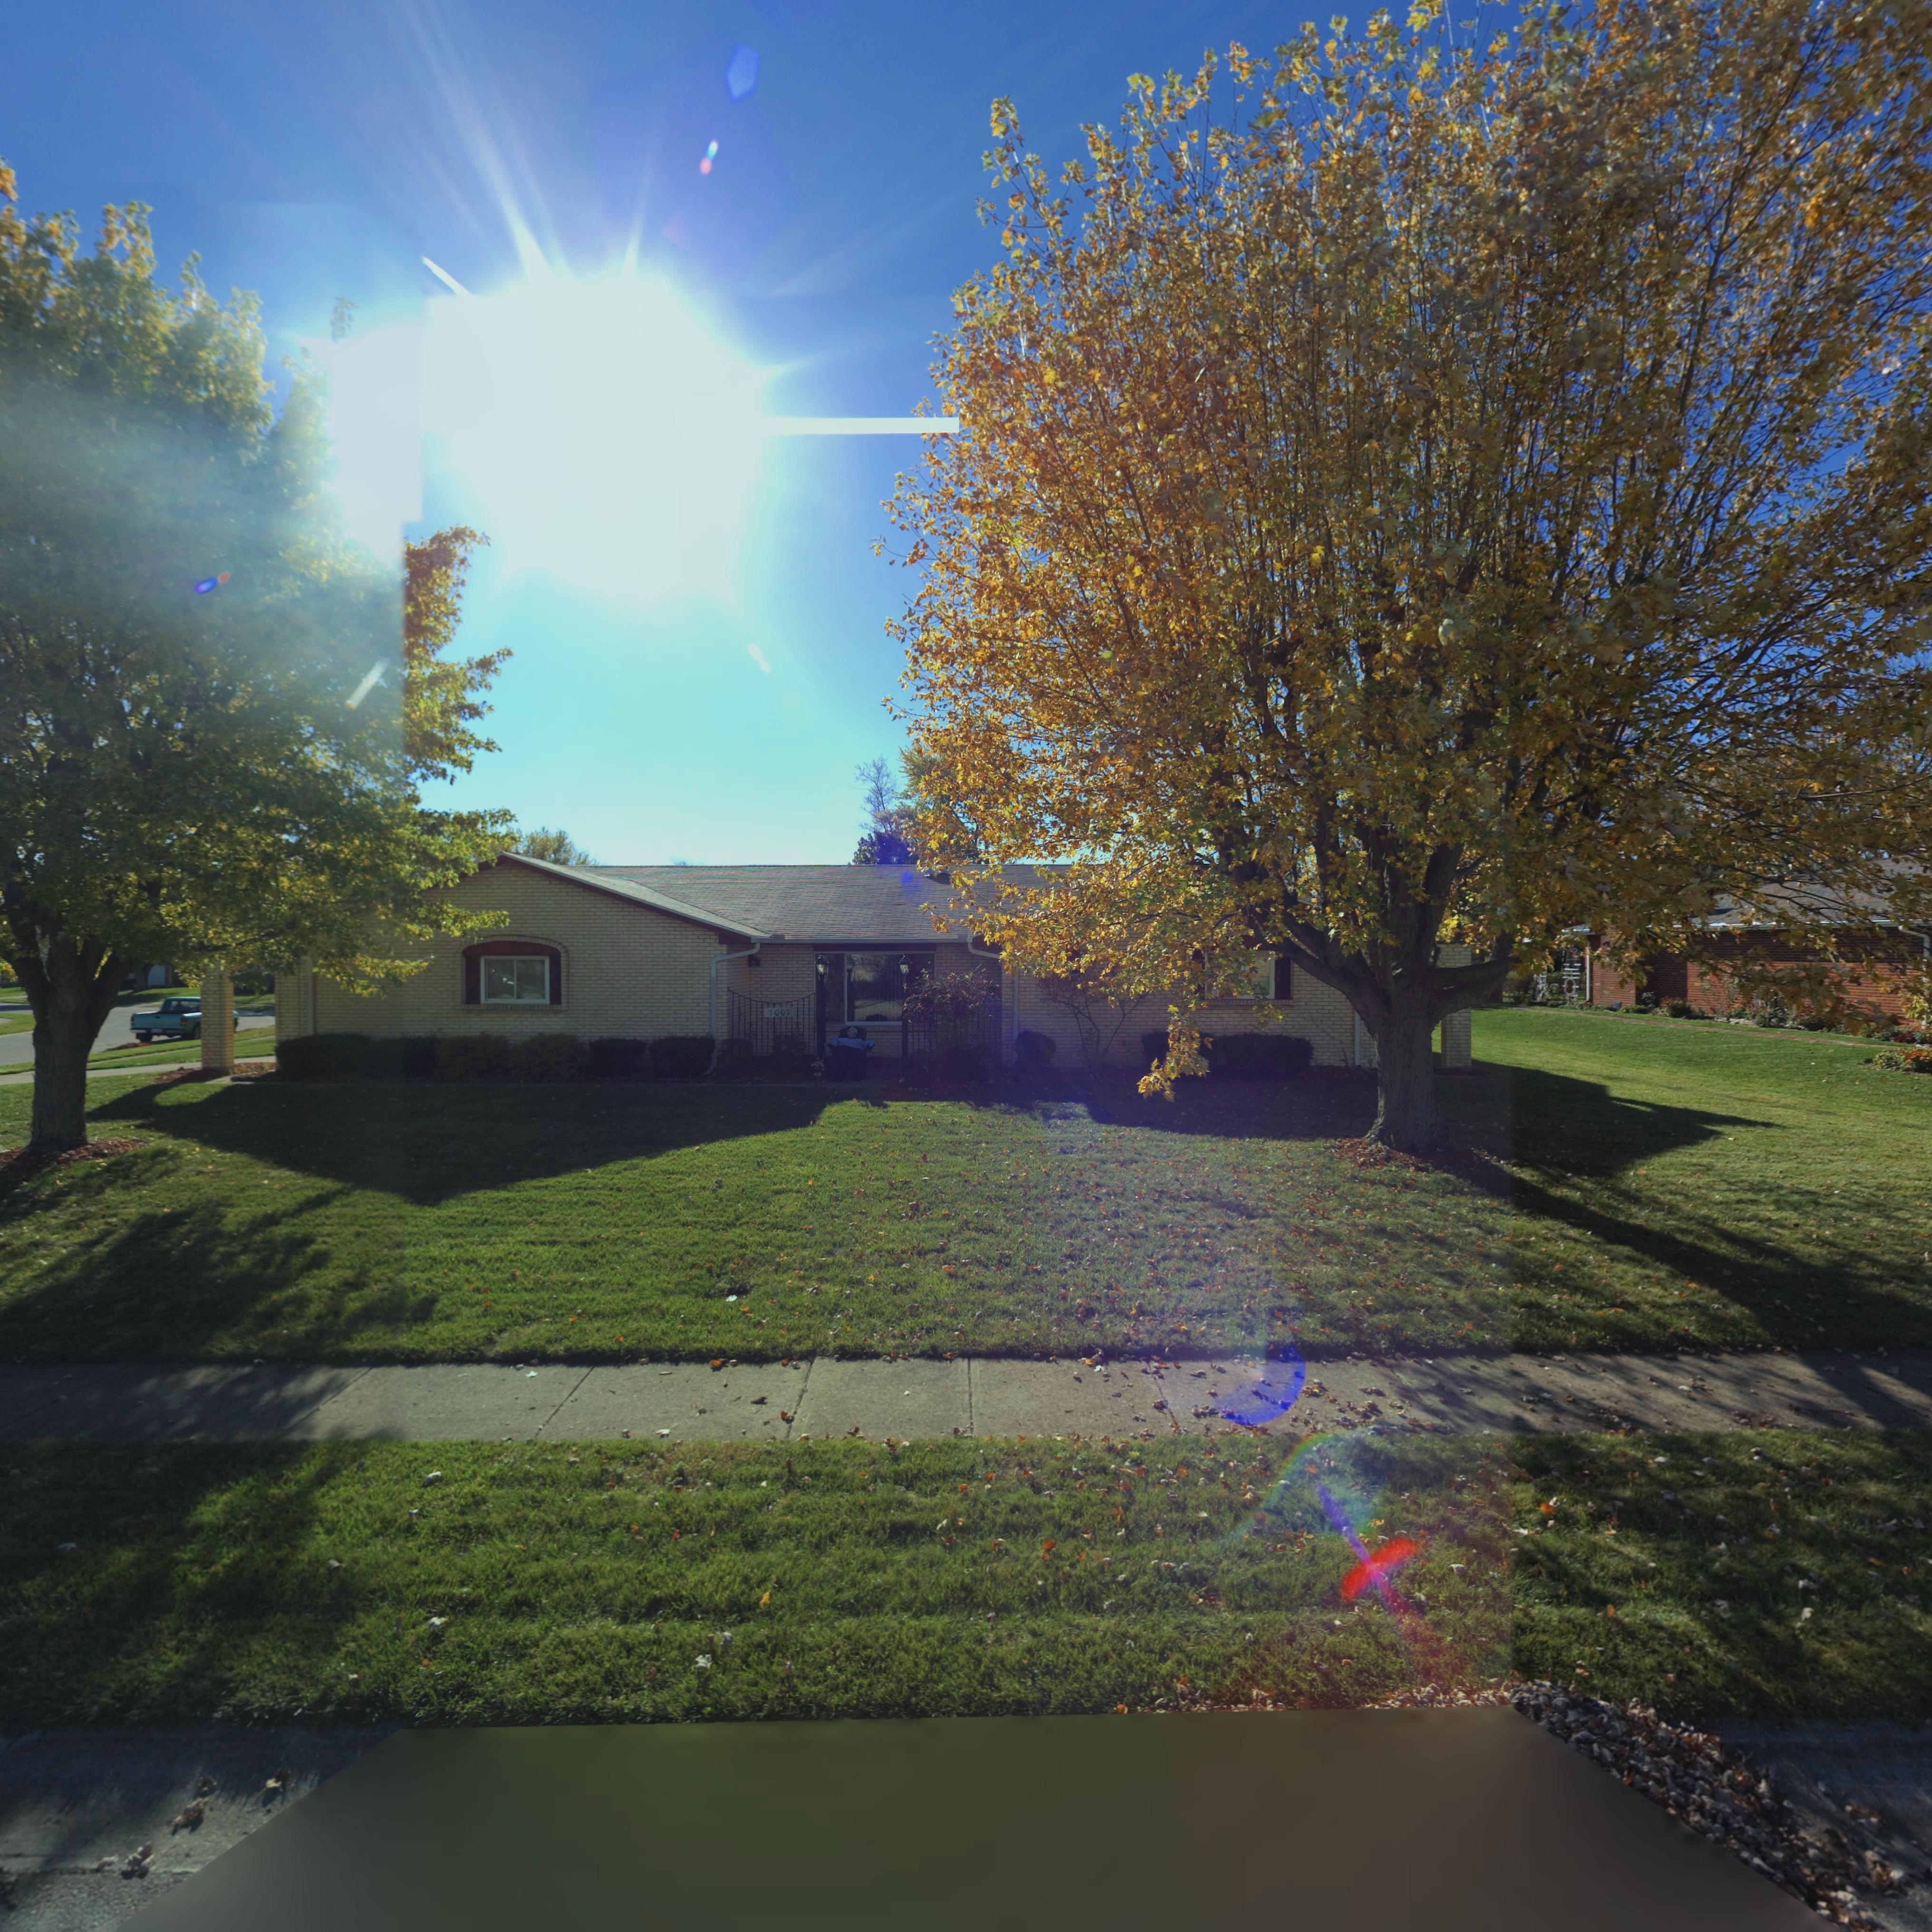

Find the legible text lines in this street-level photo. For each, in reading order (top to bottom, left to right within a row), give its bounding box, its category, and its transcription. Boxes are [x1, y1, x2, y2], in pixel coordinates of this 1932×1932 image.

[767, 1008, 791, 1016] StreetNumber: 7007